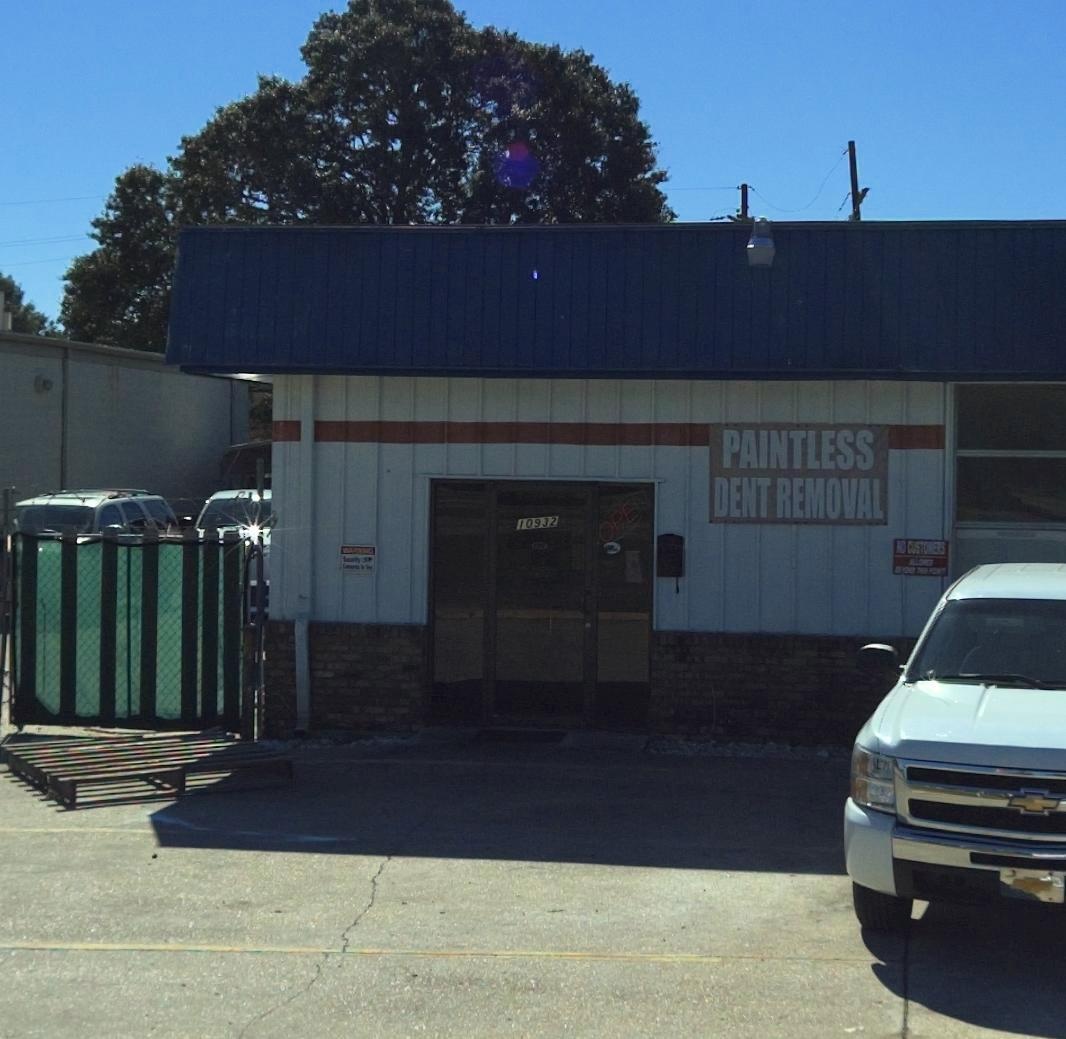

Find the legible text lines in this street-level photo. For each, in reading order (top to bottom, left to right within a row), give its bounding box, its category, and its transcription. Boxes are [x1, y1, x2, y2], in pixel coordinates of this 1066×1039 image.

[720, 426, 878, 473] None: PAINTLESS
[515, 515, 559, 531] StreetNumber: 10932
[596, 494, 643, 545] None: OPE
[712, 474, 885, 522] None: DENT REMOVAL